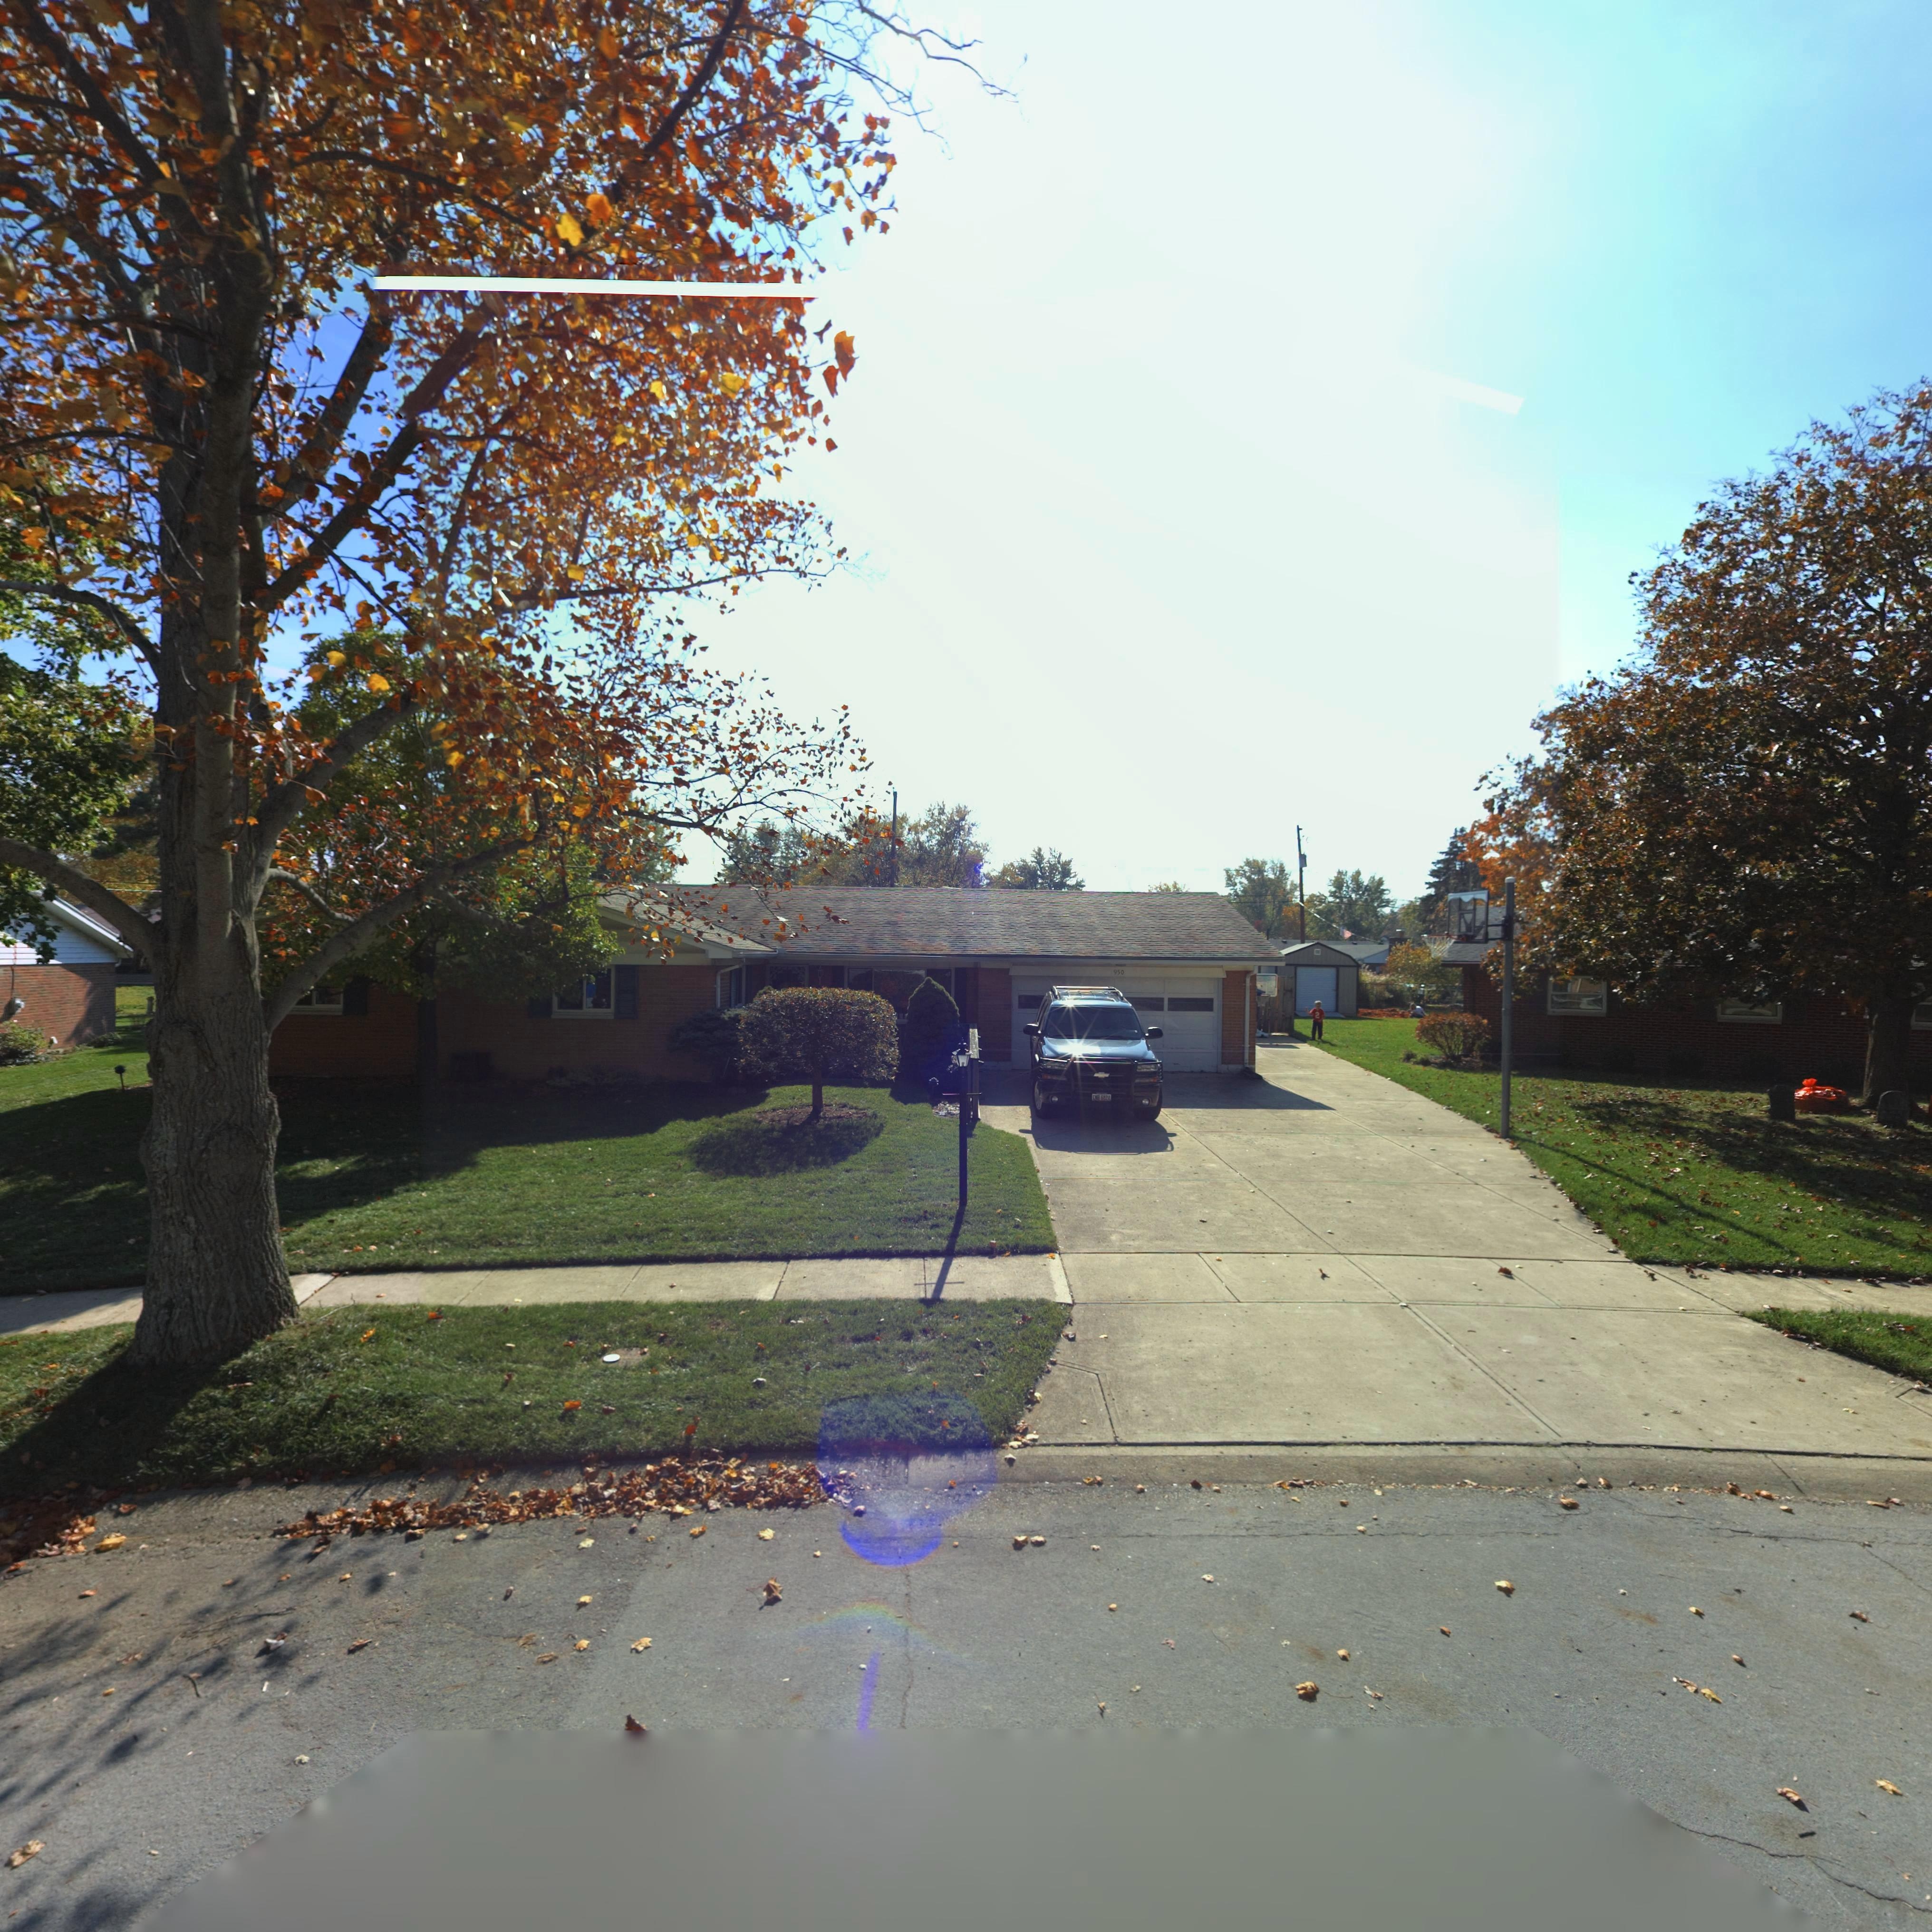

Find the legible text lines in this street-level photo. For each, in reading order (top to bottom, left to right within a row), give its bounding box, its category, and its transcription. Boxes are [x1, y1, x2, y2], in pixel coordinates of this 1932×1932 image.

[1113, 969, 1125, 975] StreetNumber: 950
[1315, 1011, 1320, 1019] None: 2